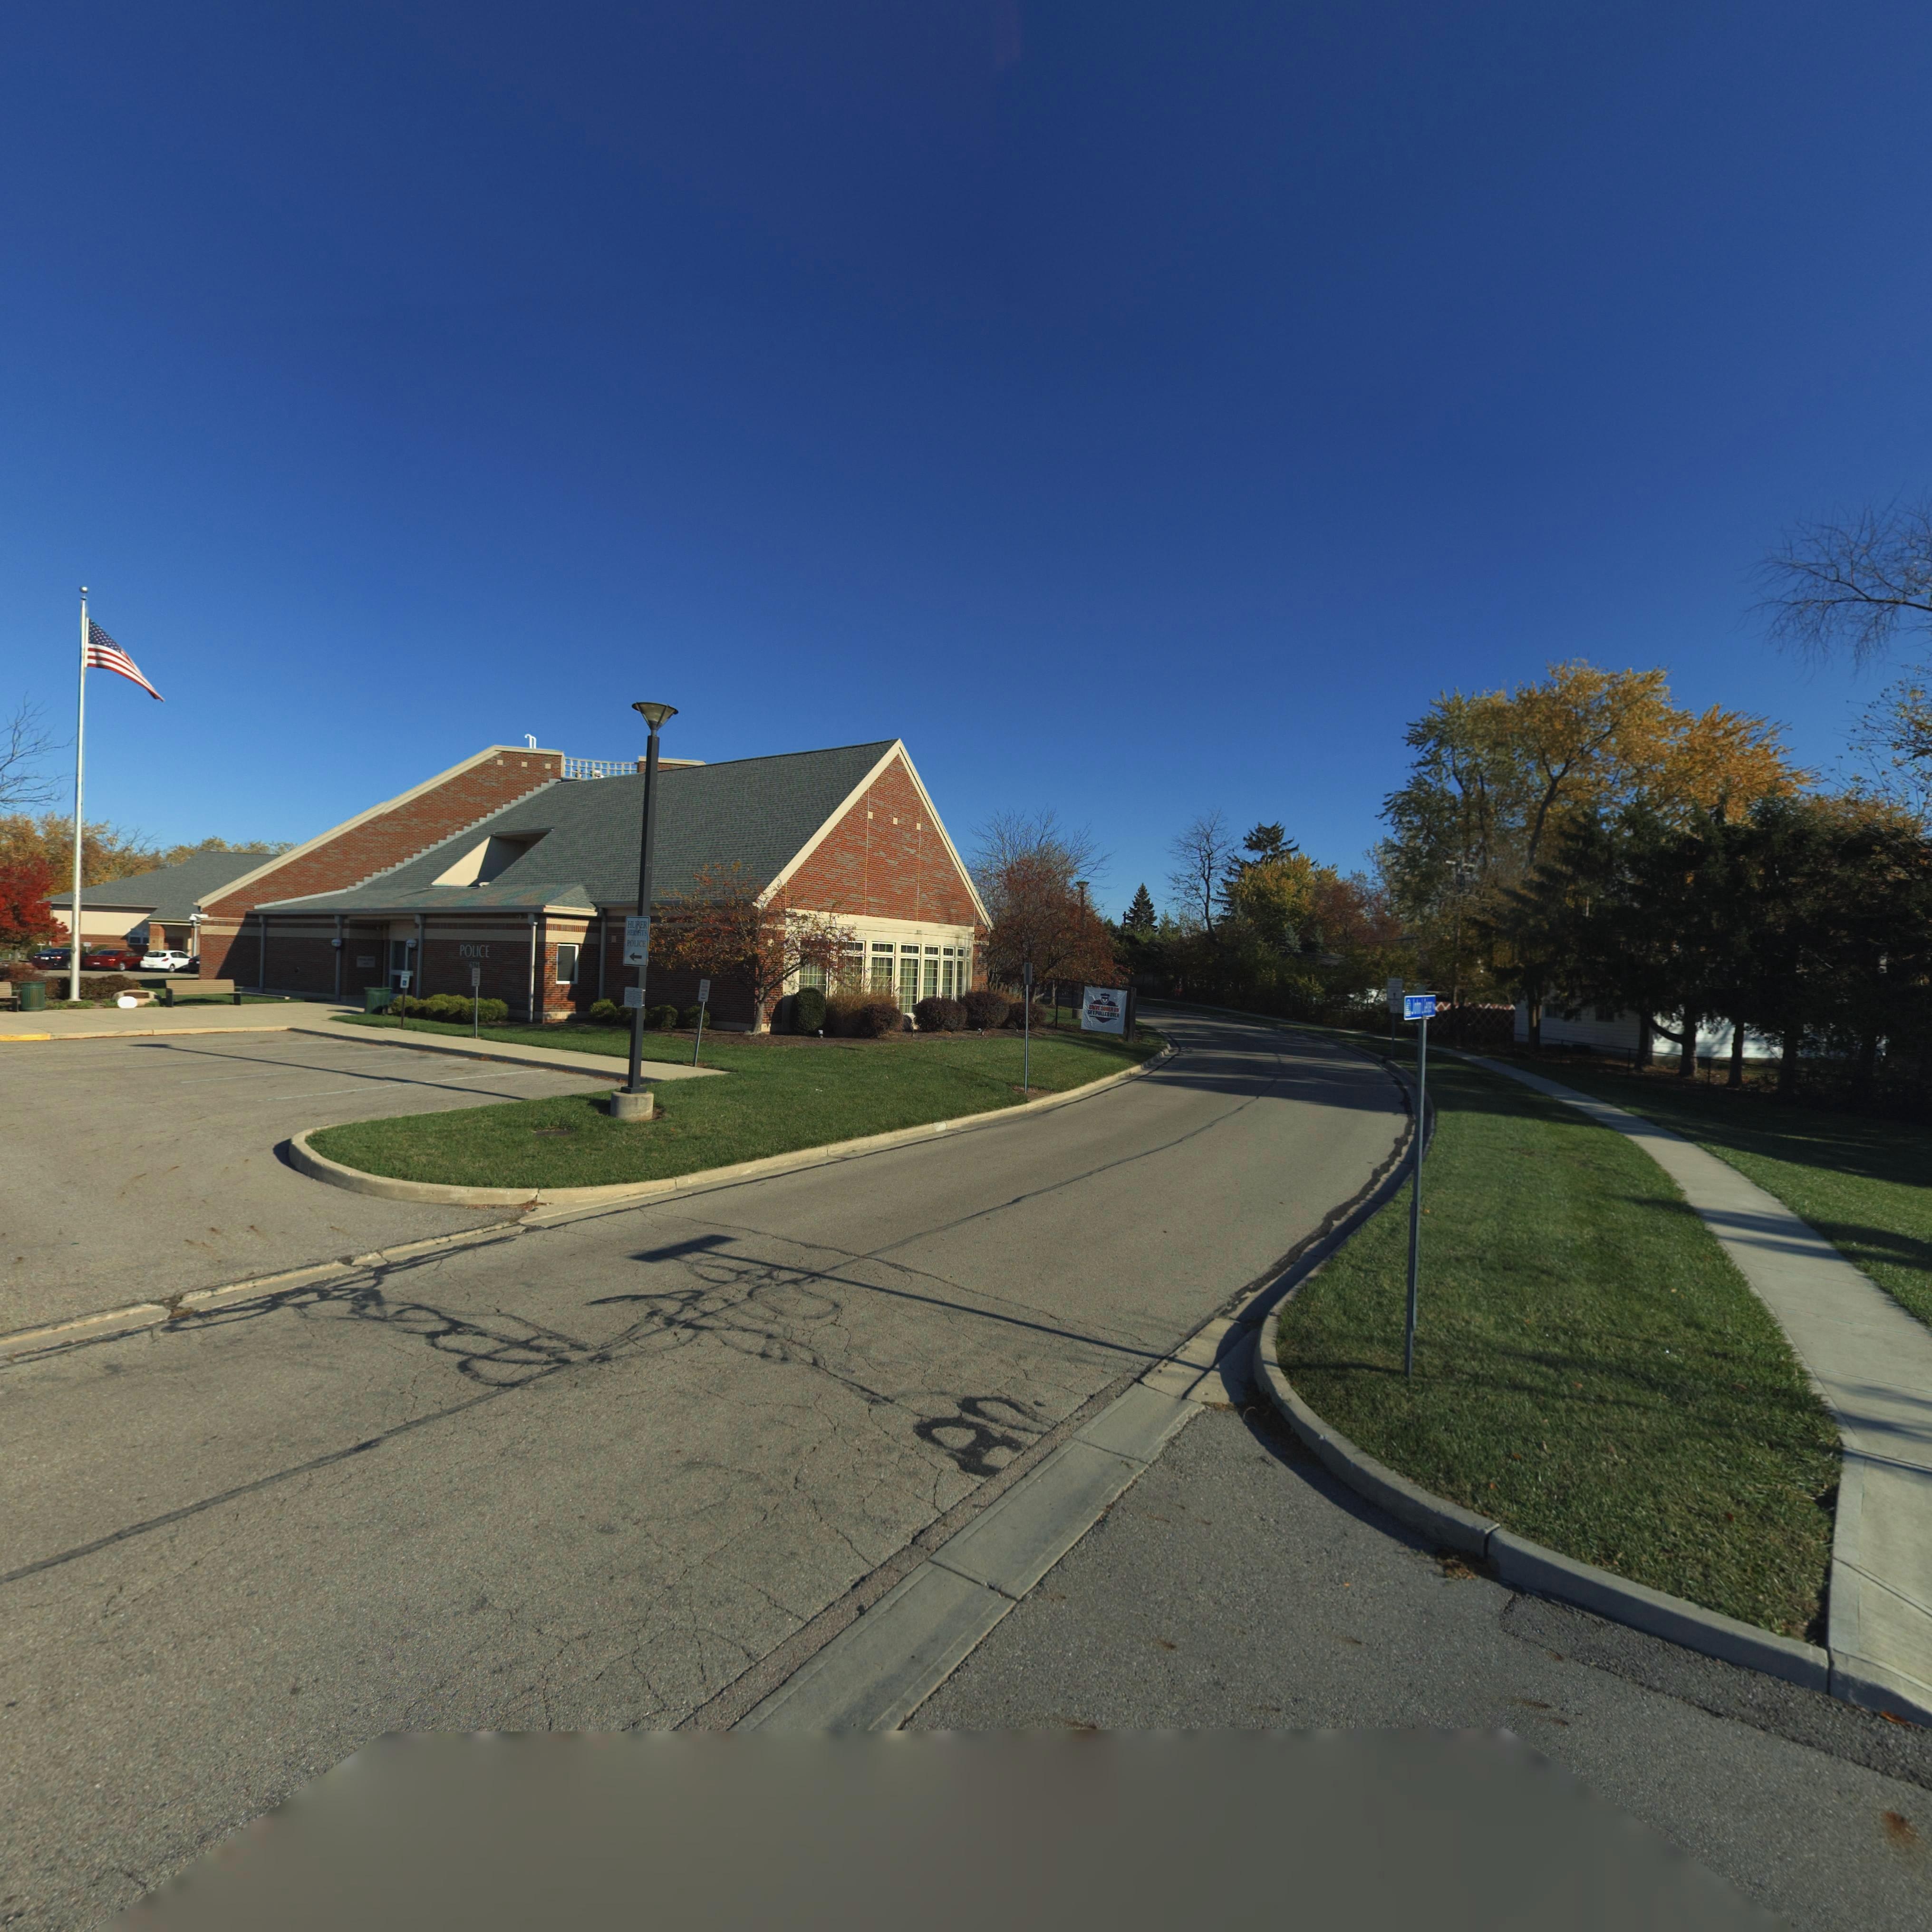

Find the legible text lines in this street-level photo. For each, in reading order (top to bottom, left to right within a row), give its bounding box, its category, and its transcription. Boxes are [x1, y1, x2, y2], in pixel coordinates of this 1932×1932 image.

[469, 961, 481, 969] StreetNumber: 6121